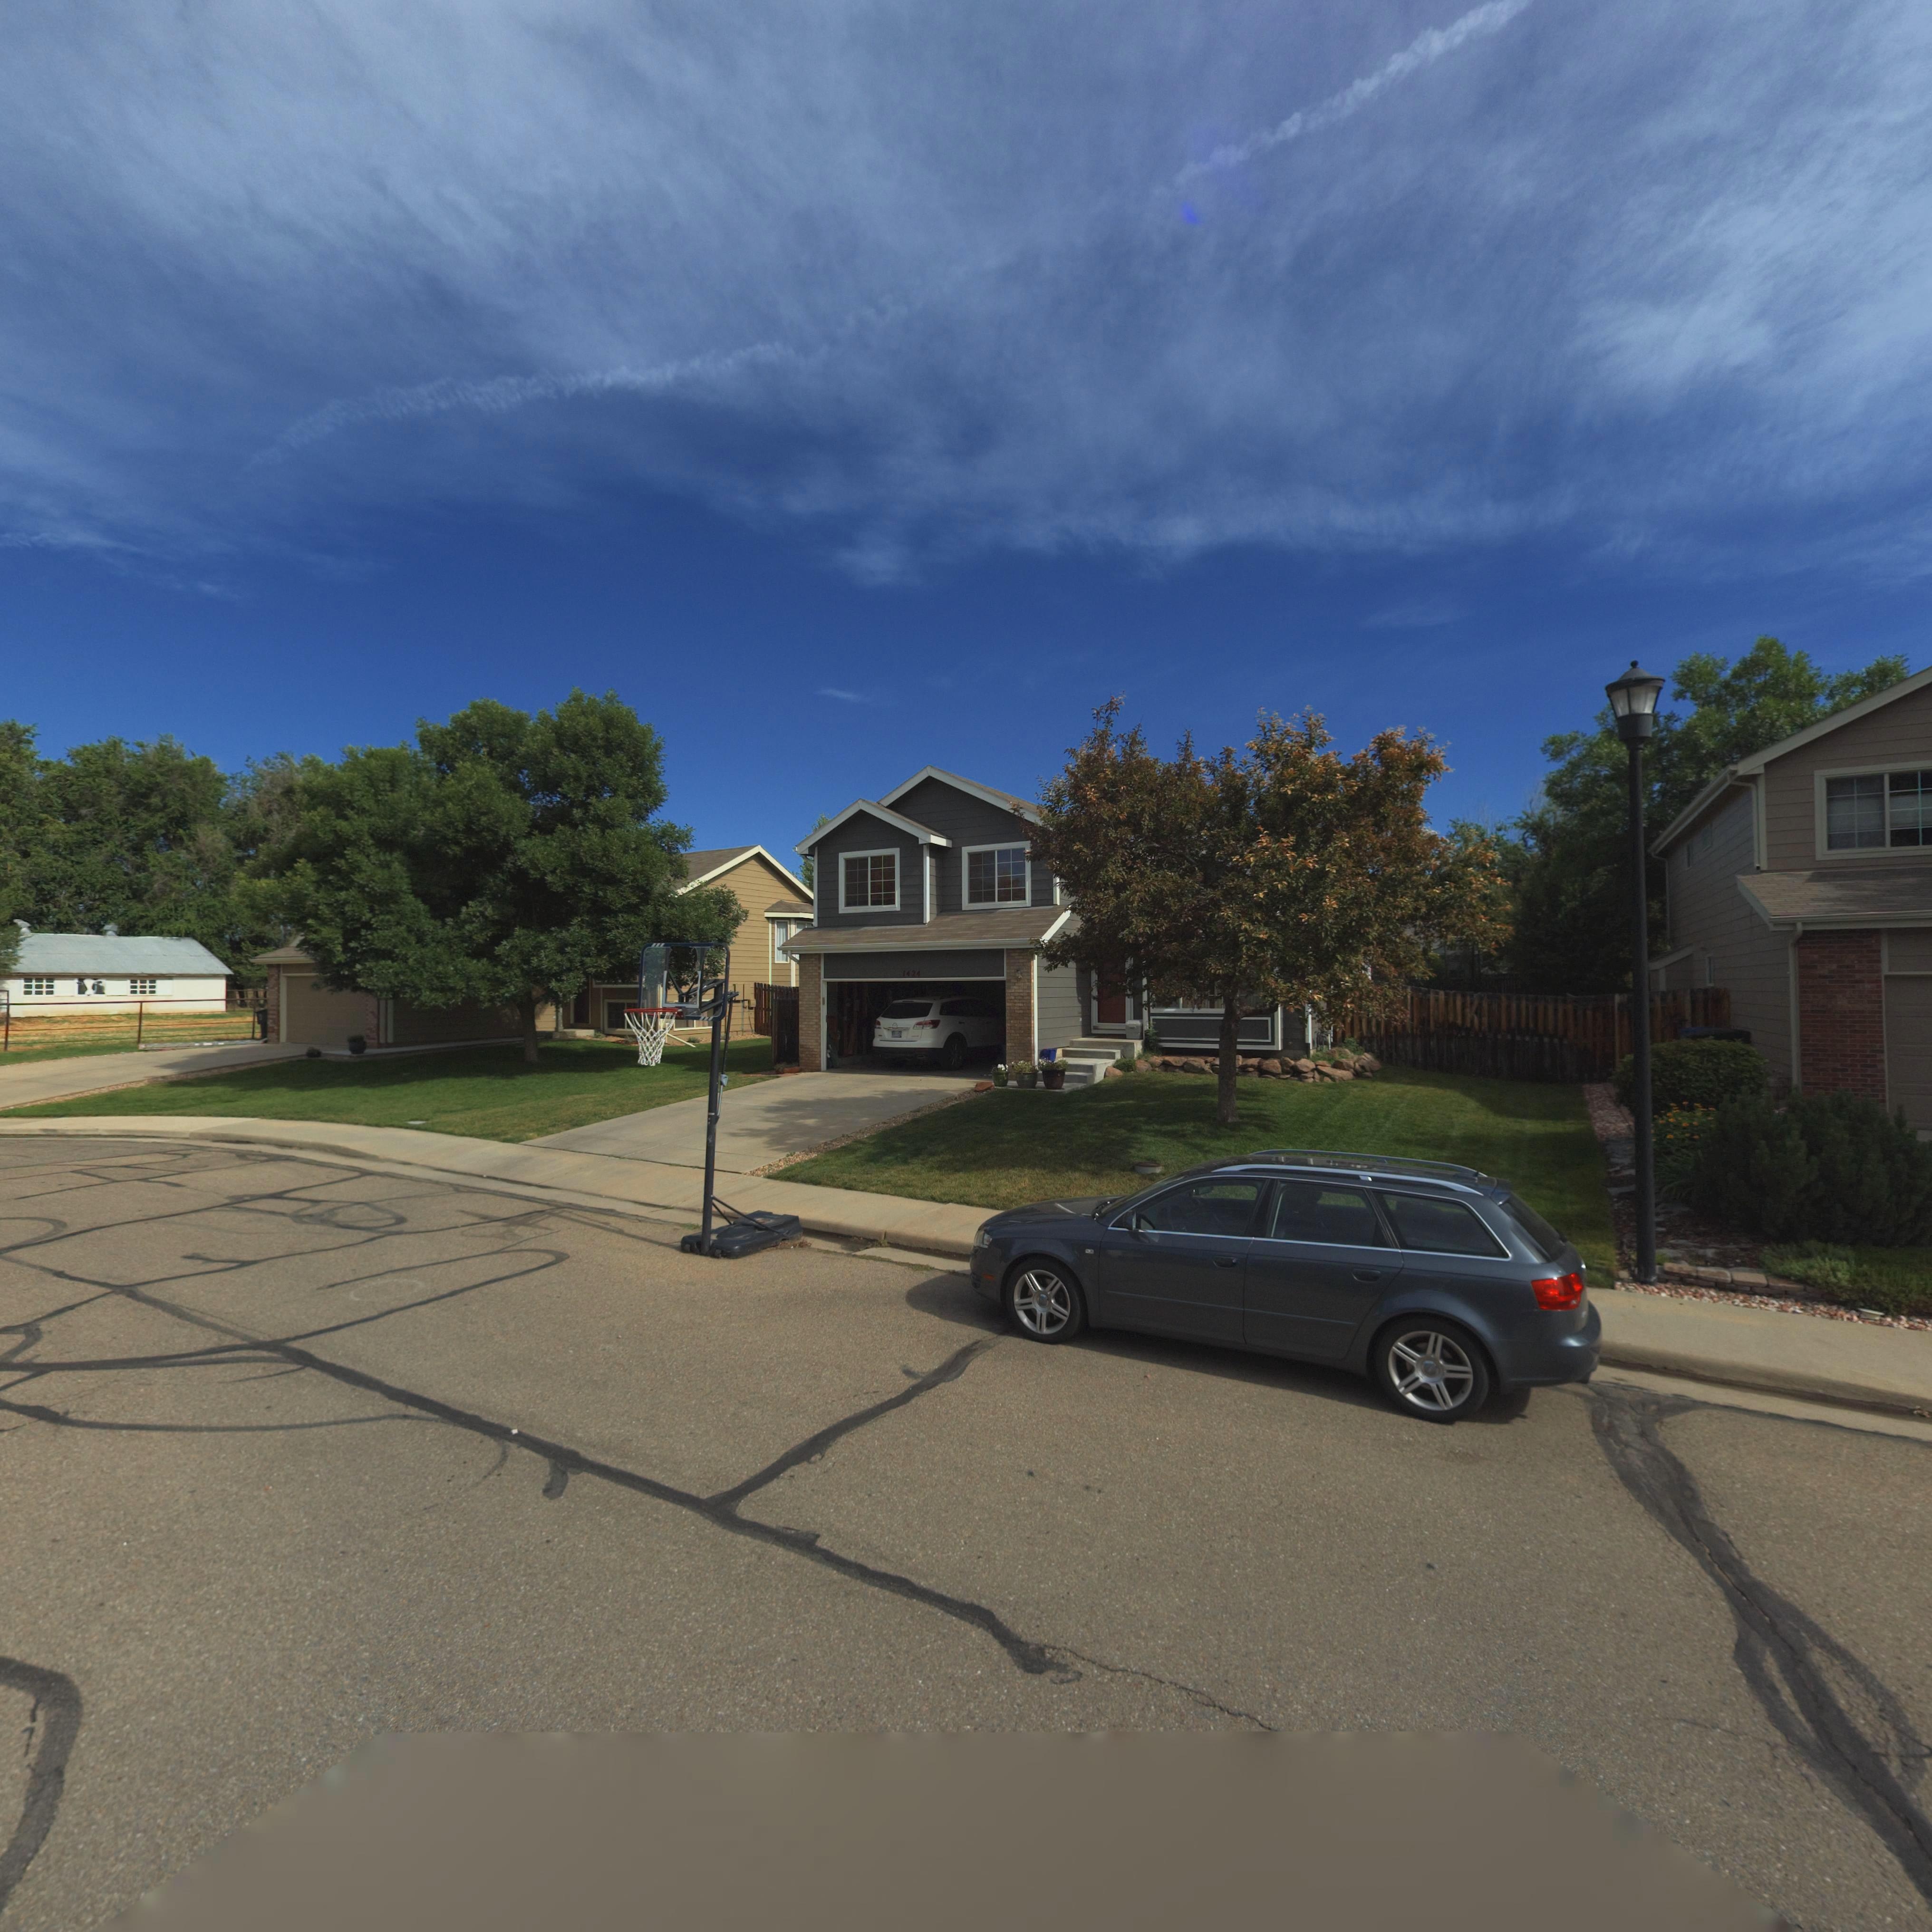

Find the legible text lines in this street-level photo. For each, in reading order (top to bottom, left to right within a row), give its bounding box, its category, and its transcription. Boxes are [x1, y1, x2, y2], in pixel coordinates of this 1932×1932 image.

[902, 969, 920, 977] StreetNumber: 1424